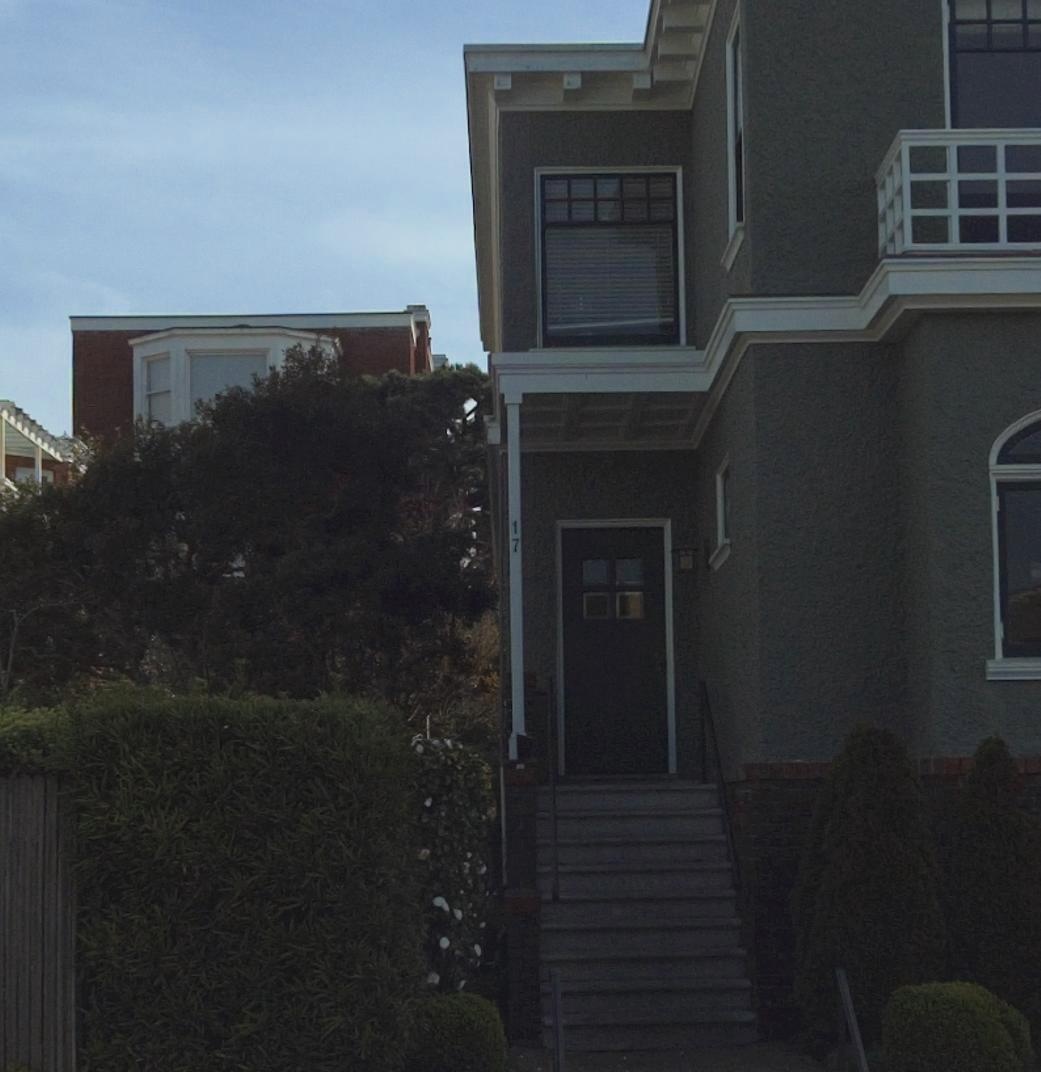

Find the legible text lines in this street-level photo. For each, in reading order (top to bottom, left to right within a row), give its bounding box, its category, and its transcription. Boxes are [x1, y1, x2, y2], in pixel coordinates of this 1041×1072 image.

[511, 518, 521, 554] StreetNumber: 17